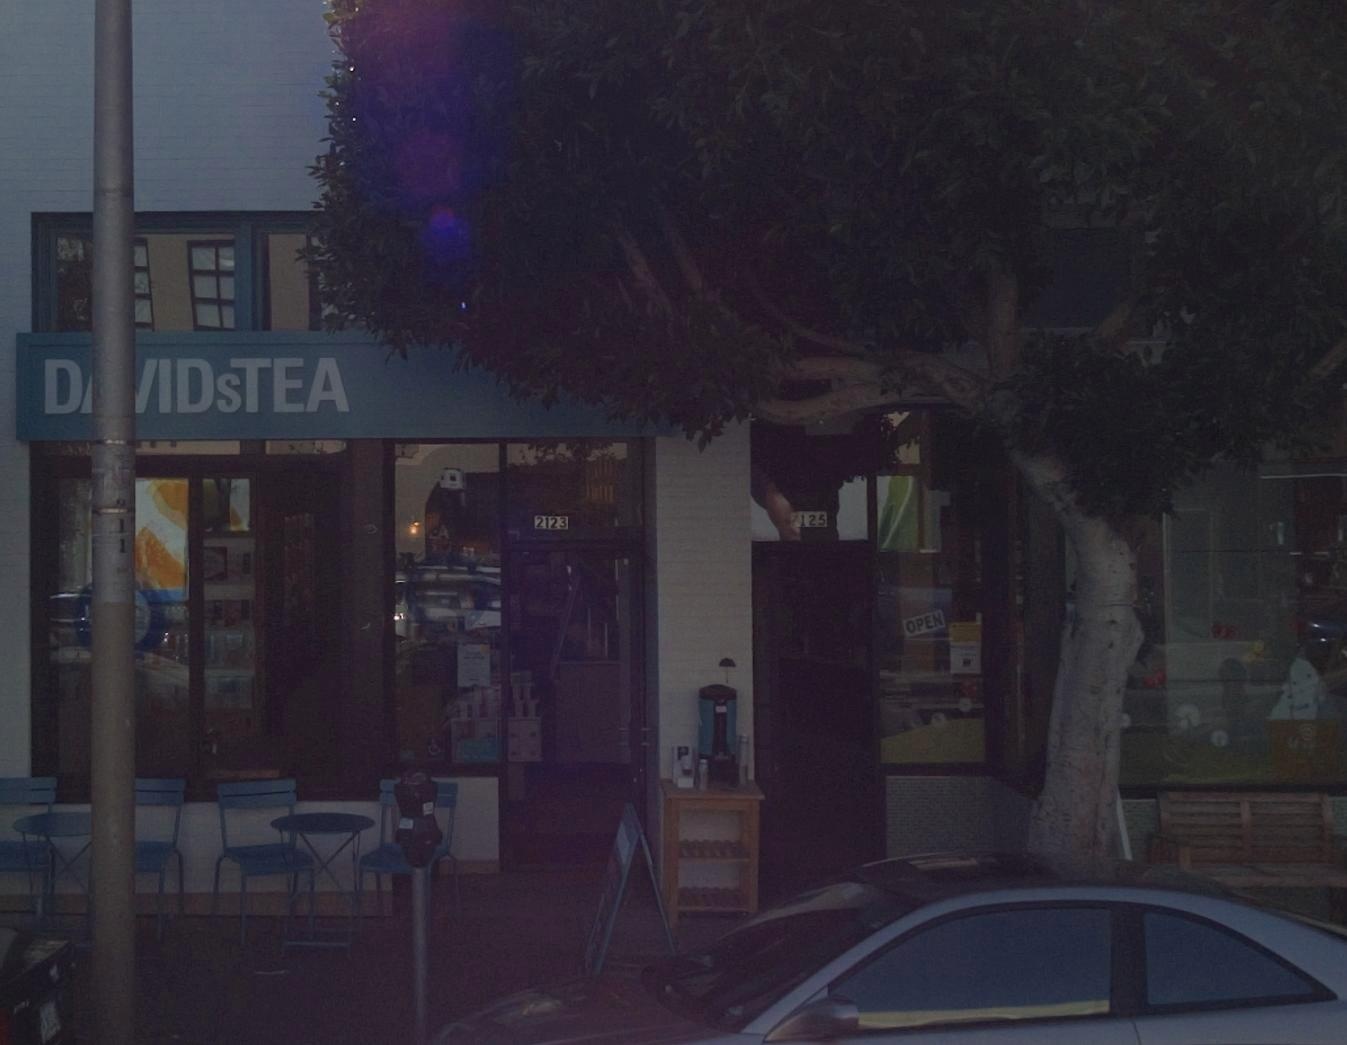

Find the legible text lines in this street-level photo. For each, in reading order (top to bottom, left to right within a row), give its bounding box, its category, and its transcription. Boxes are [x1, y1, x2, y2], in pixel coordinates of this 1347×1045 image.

[42, 355, 355, 417] BusinessName: D  IDsTEA
[534, 514, 569, 530] StreetNumber: 2123
[788, 511, 827, 528] StreetNumber: 2125
[902, 609, 945, 637] None: OPEN